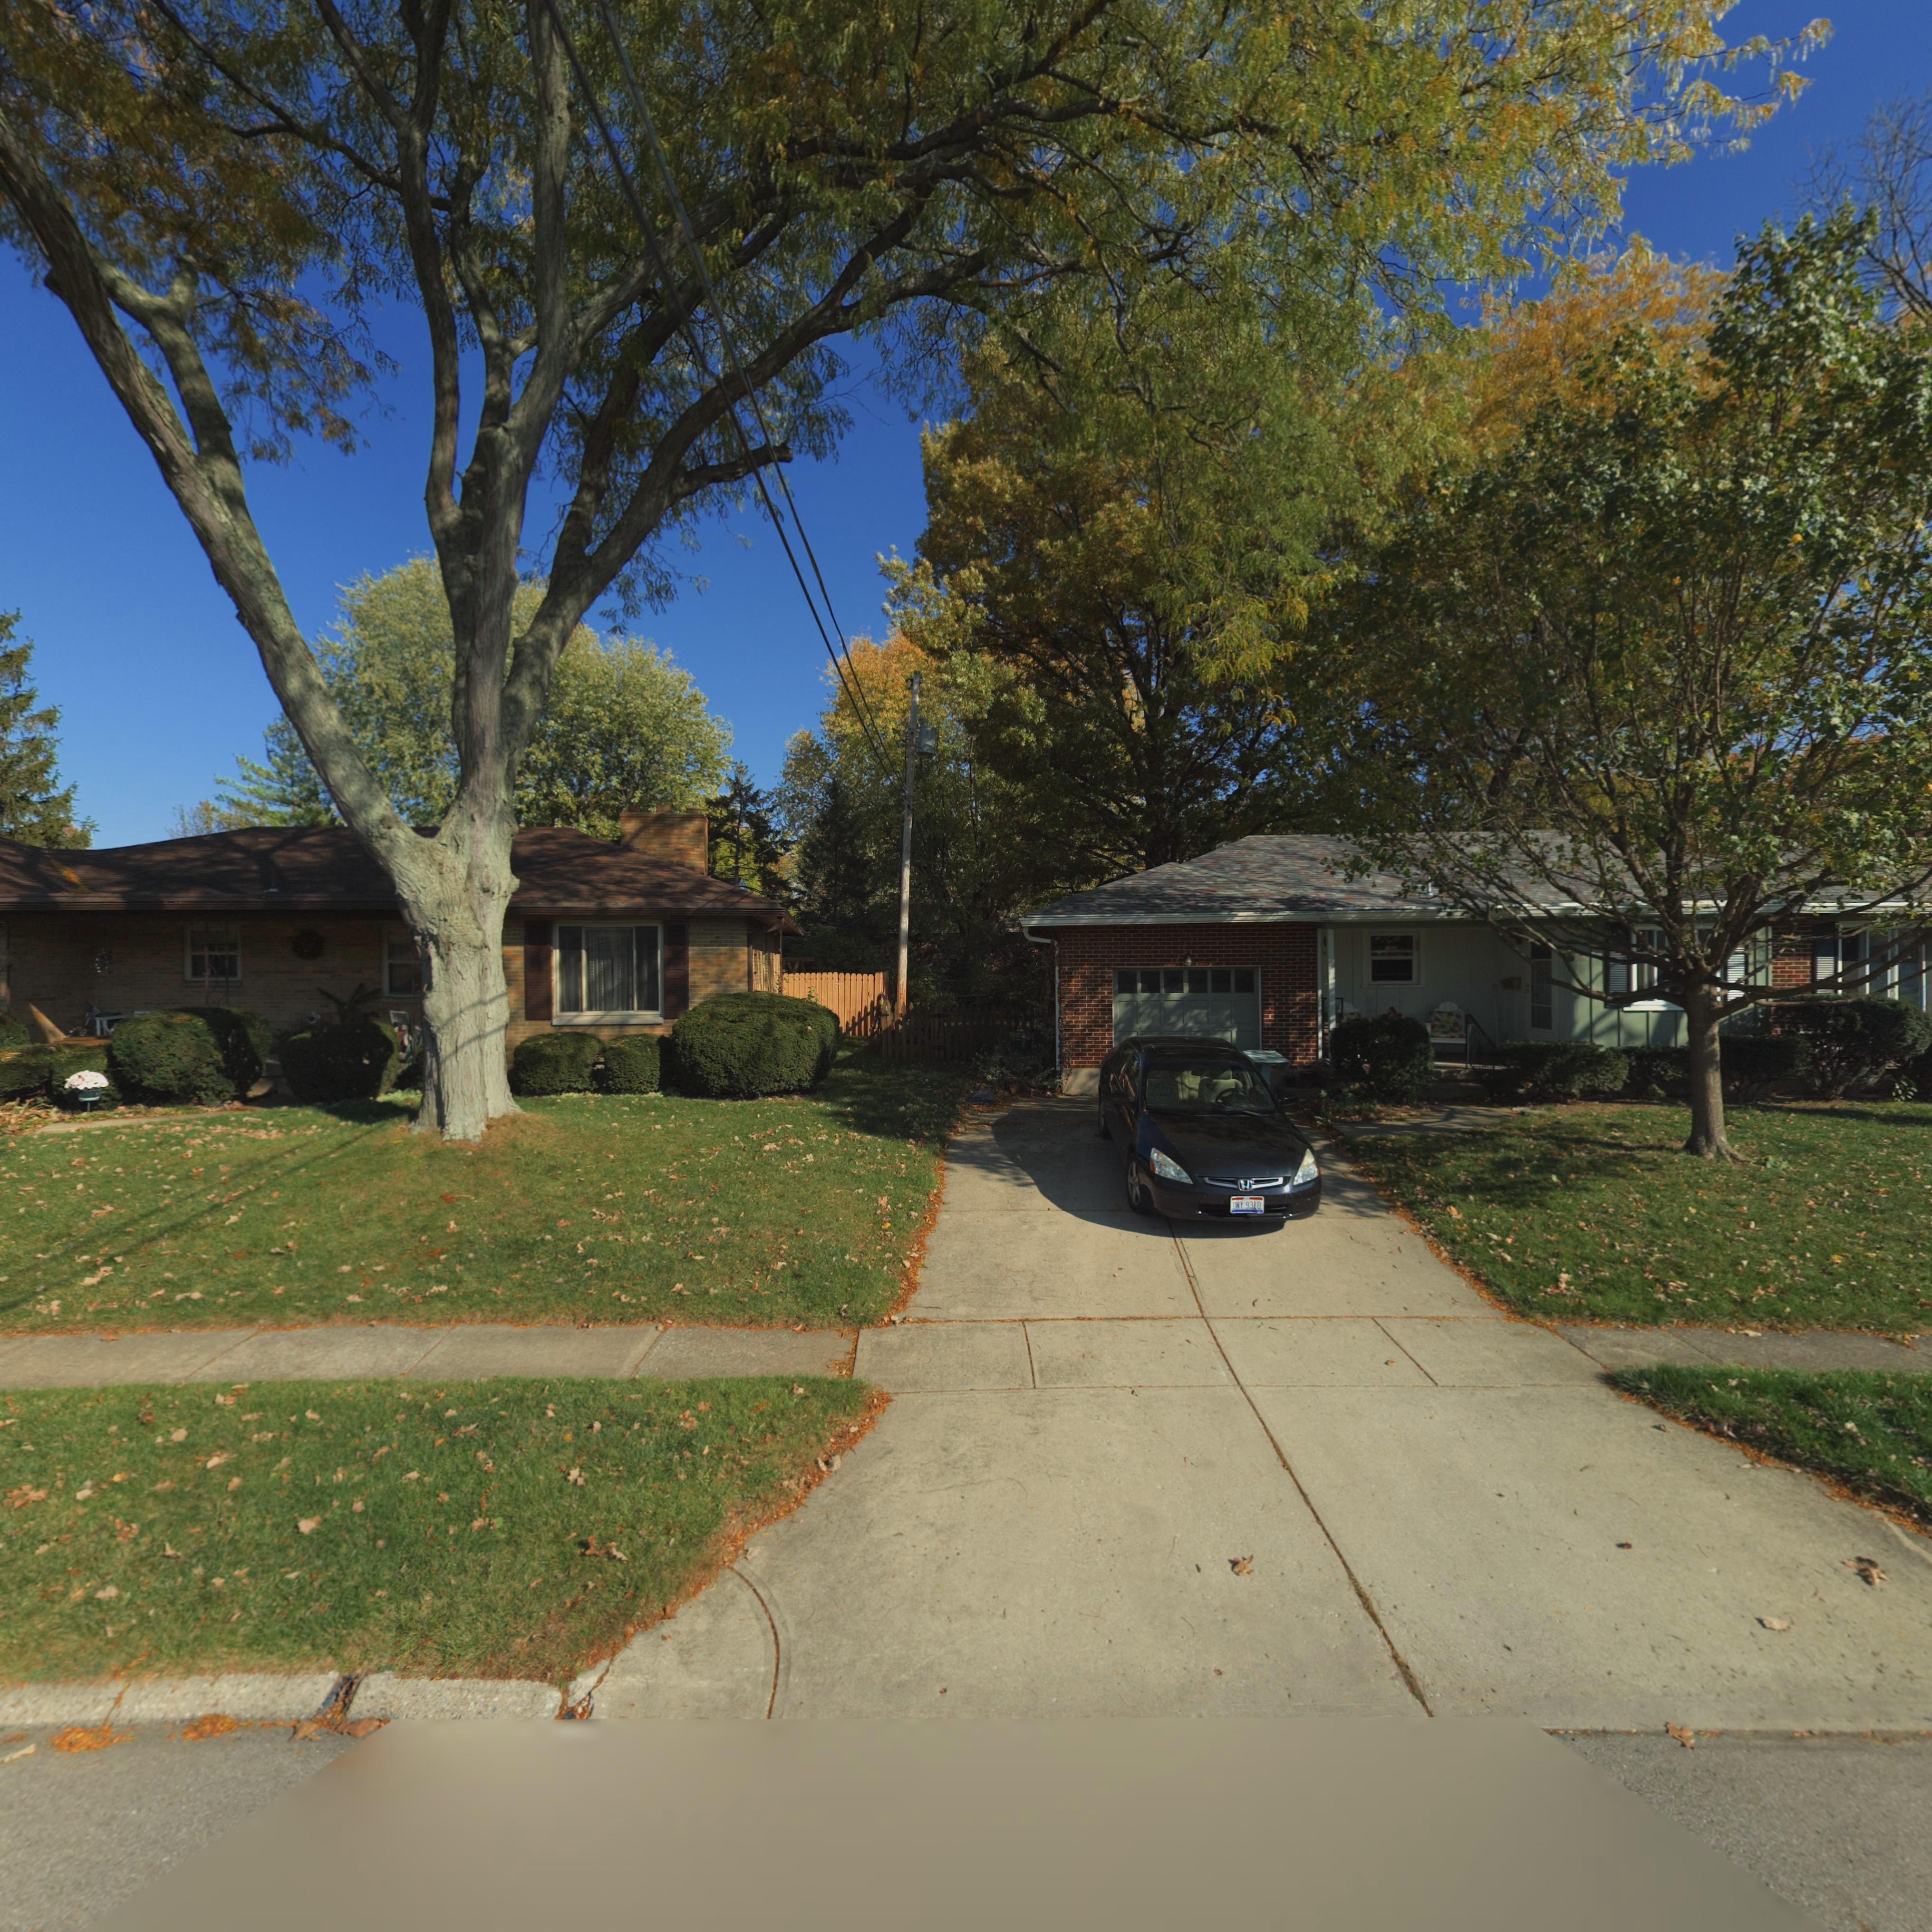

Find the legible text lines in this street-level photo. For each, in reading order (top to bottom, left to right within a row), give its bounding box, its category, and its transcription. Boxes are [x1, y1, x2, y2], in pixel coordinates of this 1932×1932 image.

[1574, 954, 1584, 962] StreetNumber: 76
[1232, 1201, 1261, 1210] None: DNY*9310